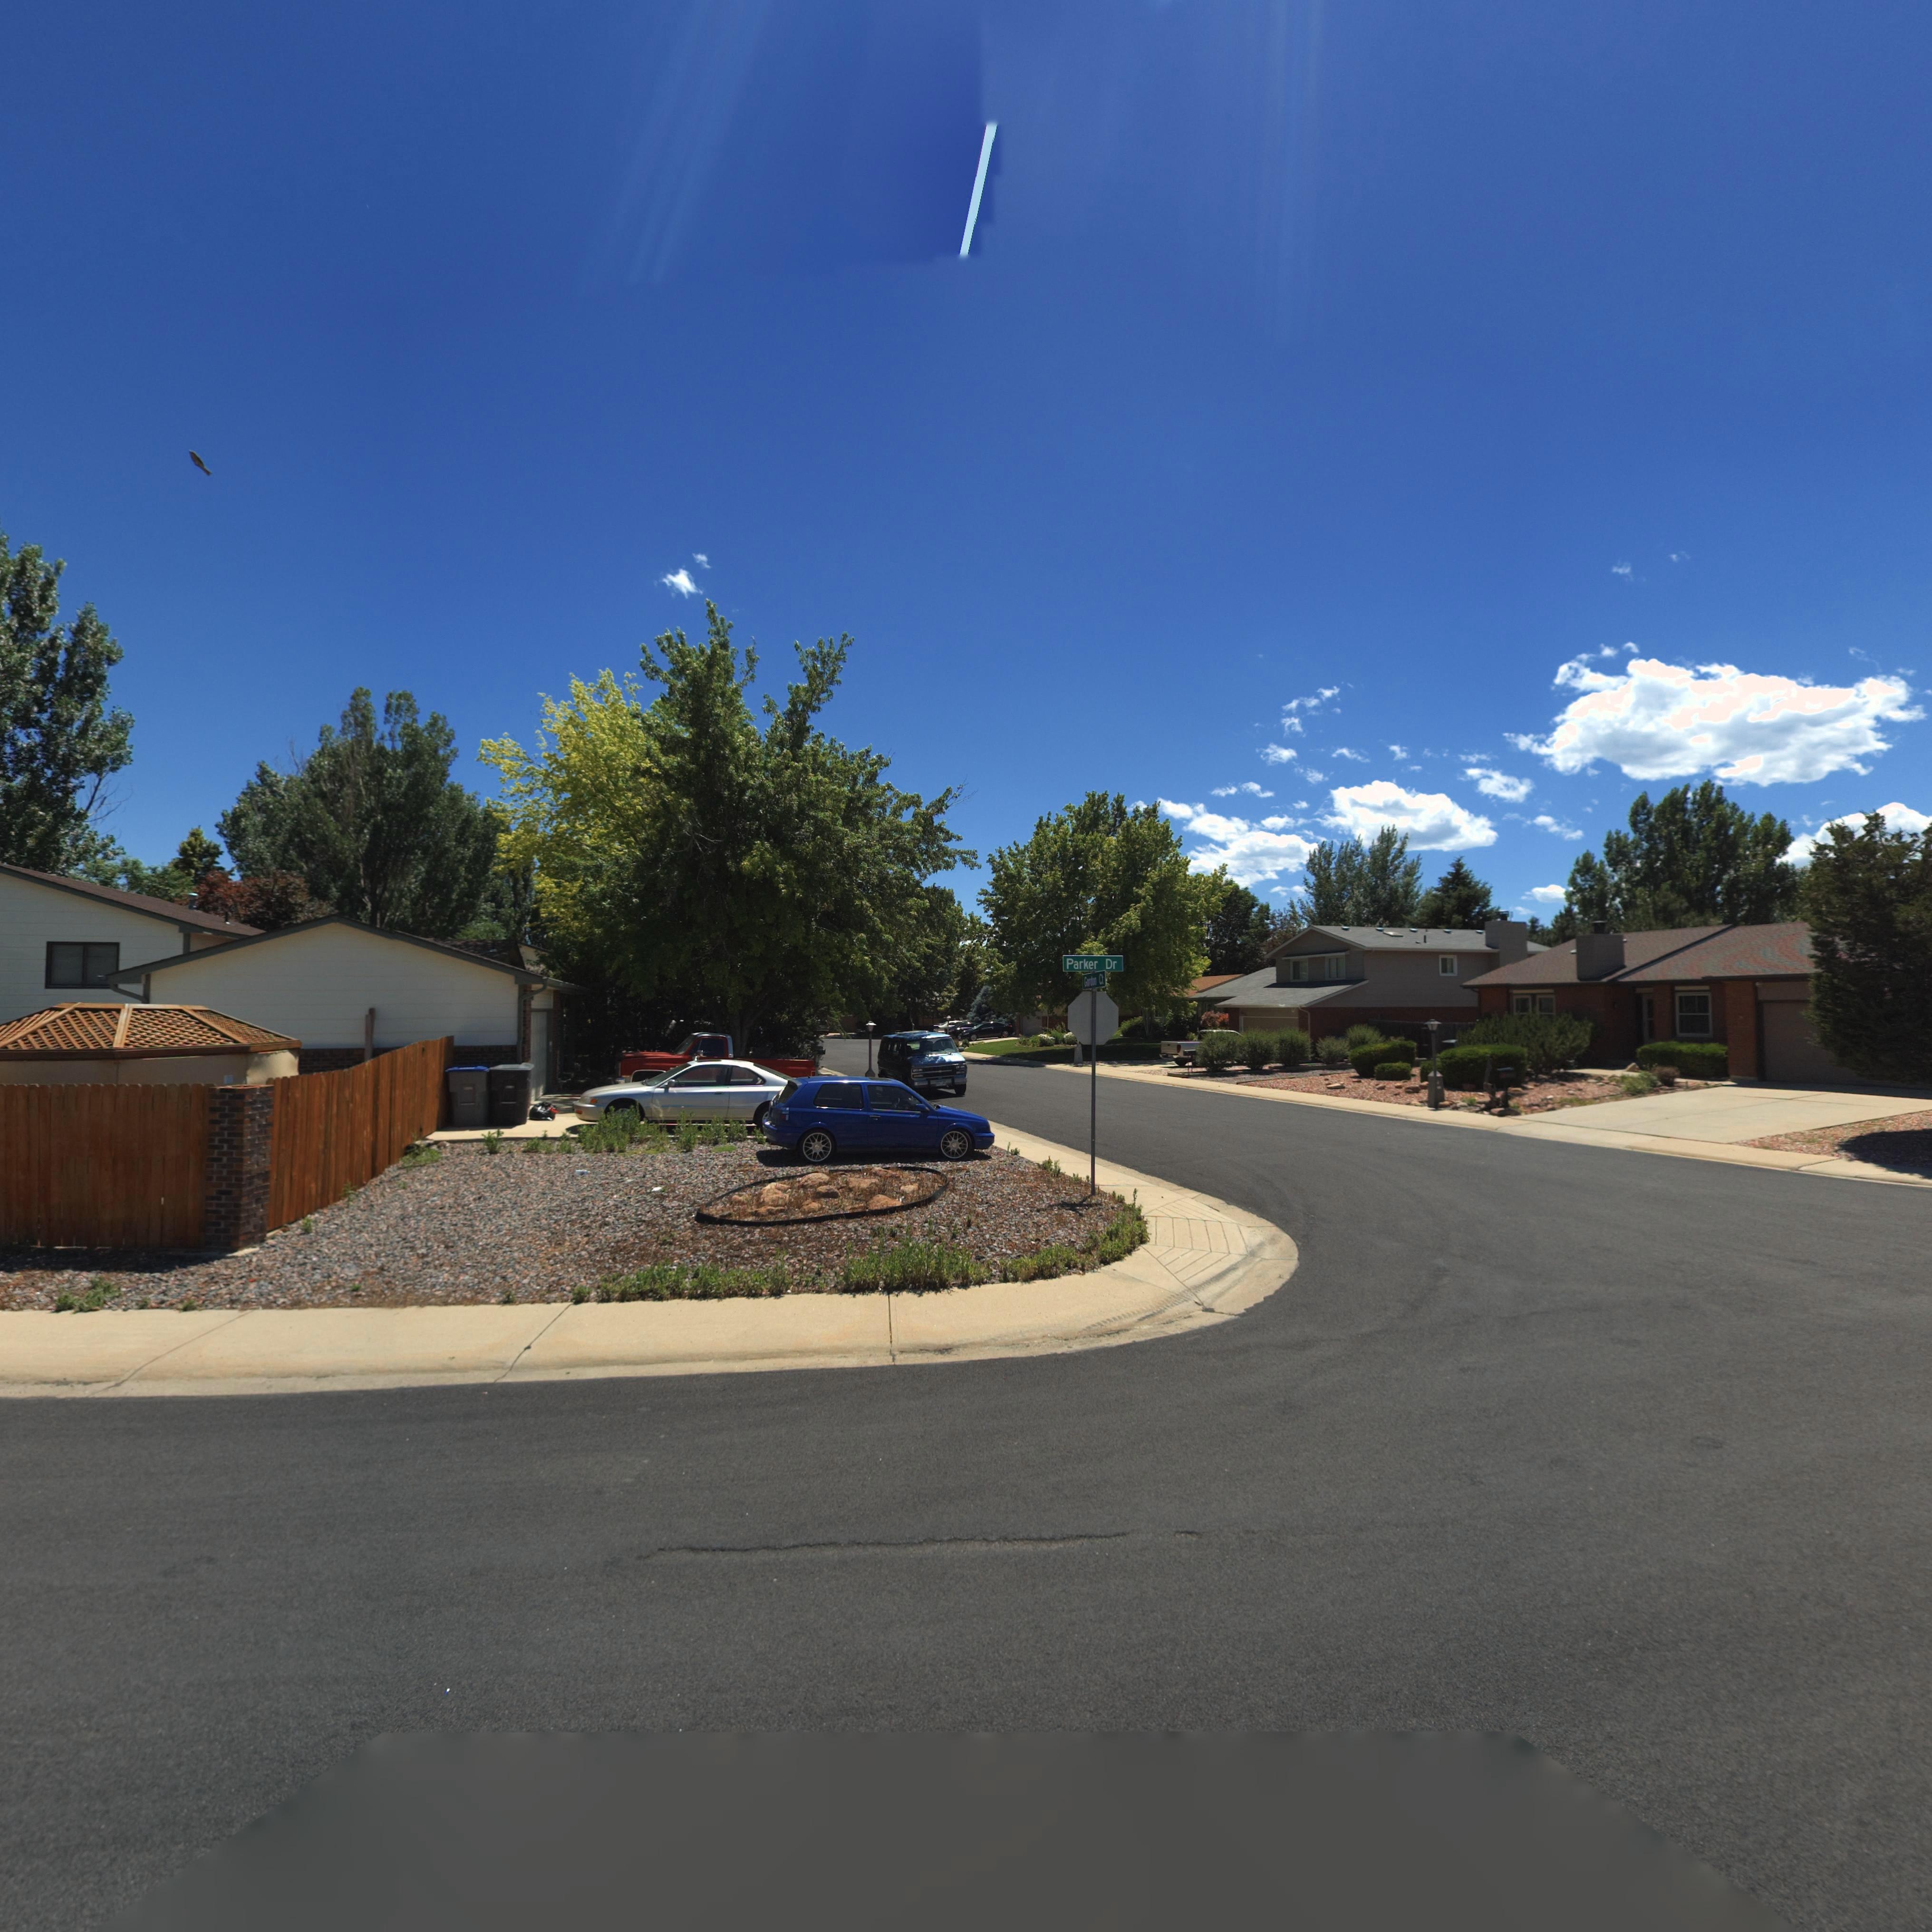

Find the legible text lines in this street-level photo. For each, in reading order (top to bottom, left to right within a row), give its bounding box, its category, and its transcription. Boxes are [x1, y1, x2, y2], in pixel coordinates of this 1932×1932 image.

[1066, 957, 1117, 970] StreetName: Parker Dr
[1084, 973, 1103, 986] StreetName: Gordon Ct